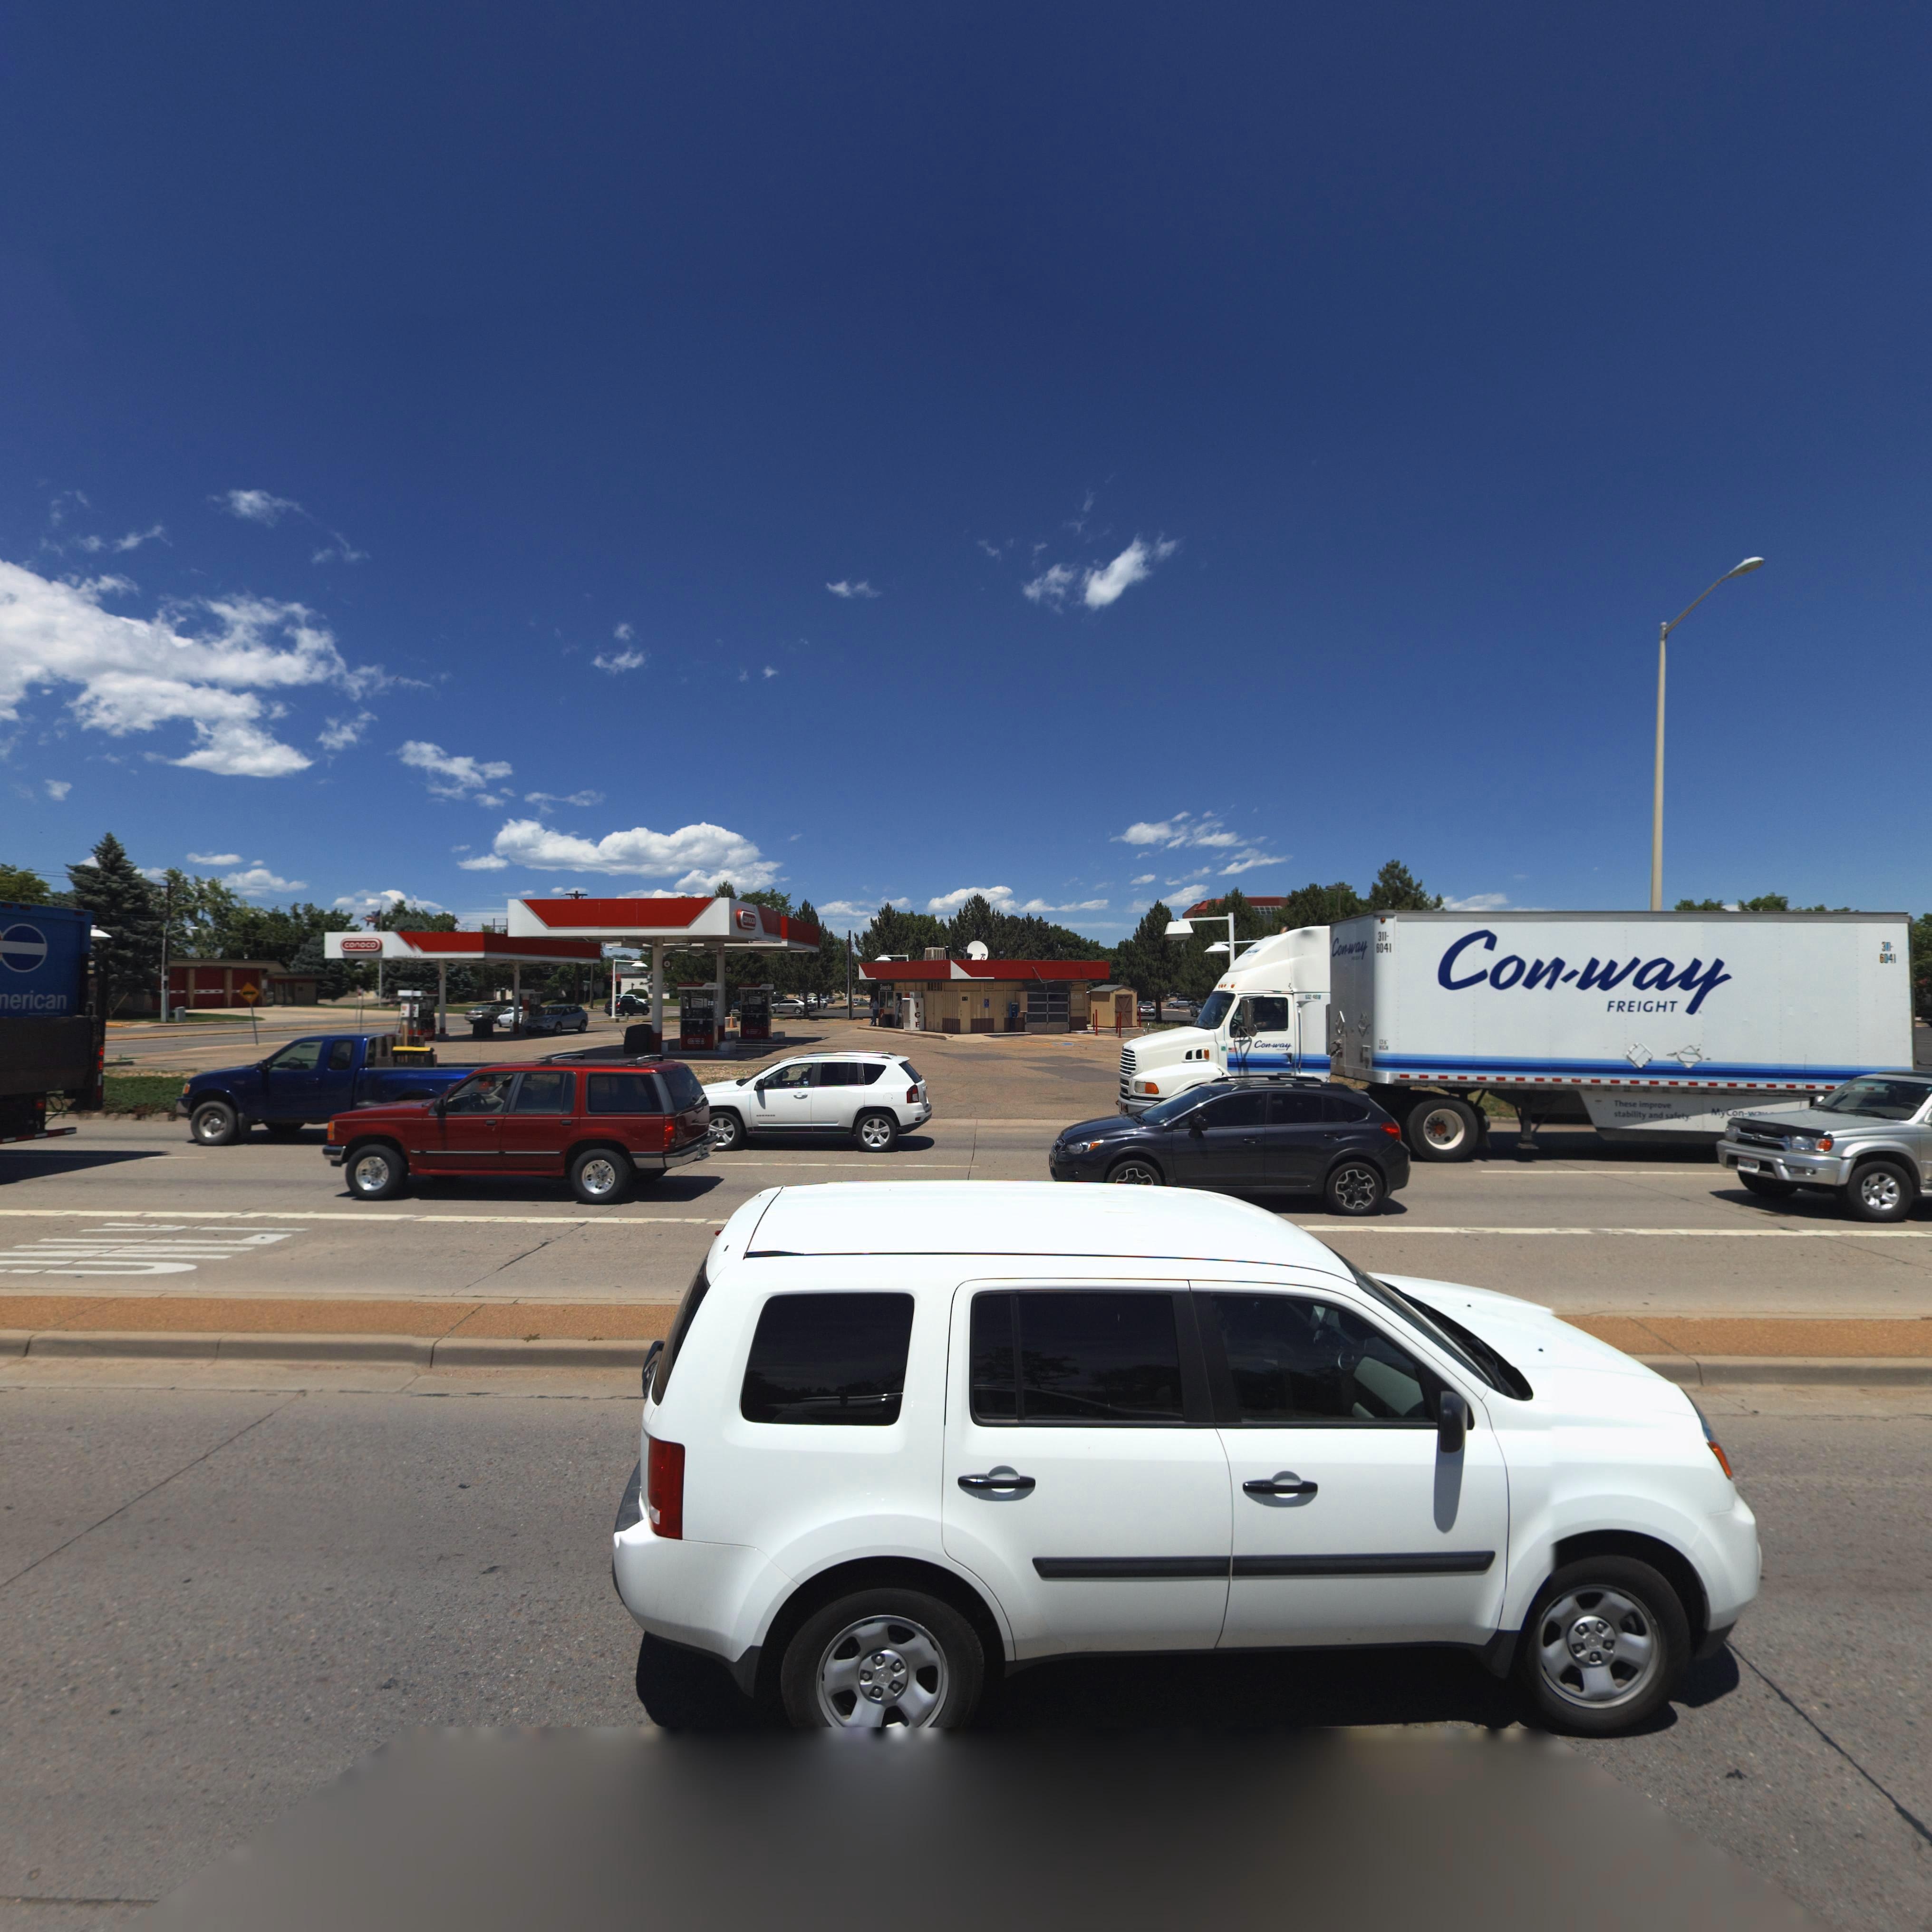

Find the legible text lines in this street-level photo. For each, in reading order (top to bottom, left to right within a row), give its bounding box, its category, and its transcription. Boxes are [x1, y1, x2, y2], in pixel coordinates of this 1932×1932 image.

[743, 916, 756, 924] BusinessName: *o*oc*
[343, 941, 377, 948] BusinessName: conoco